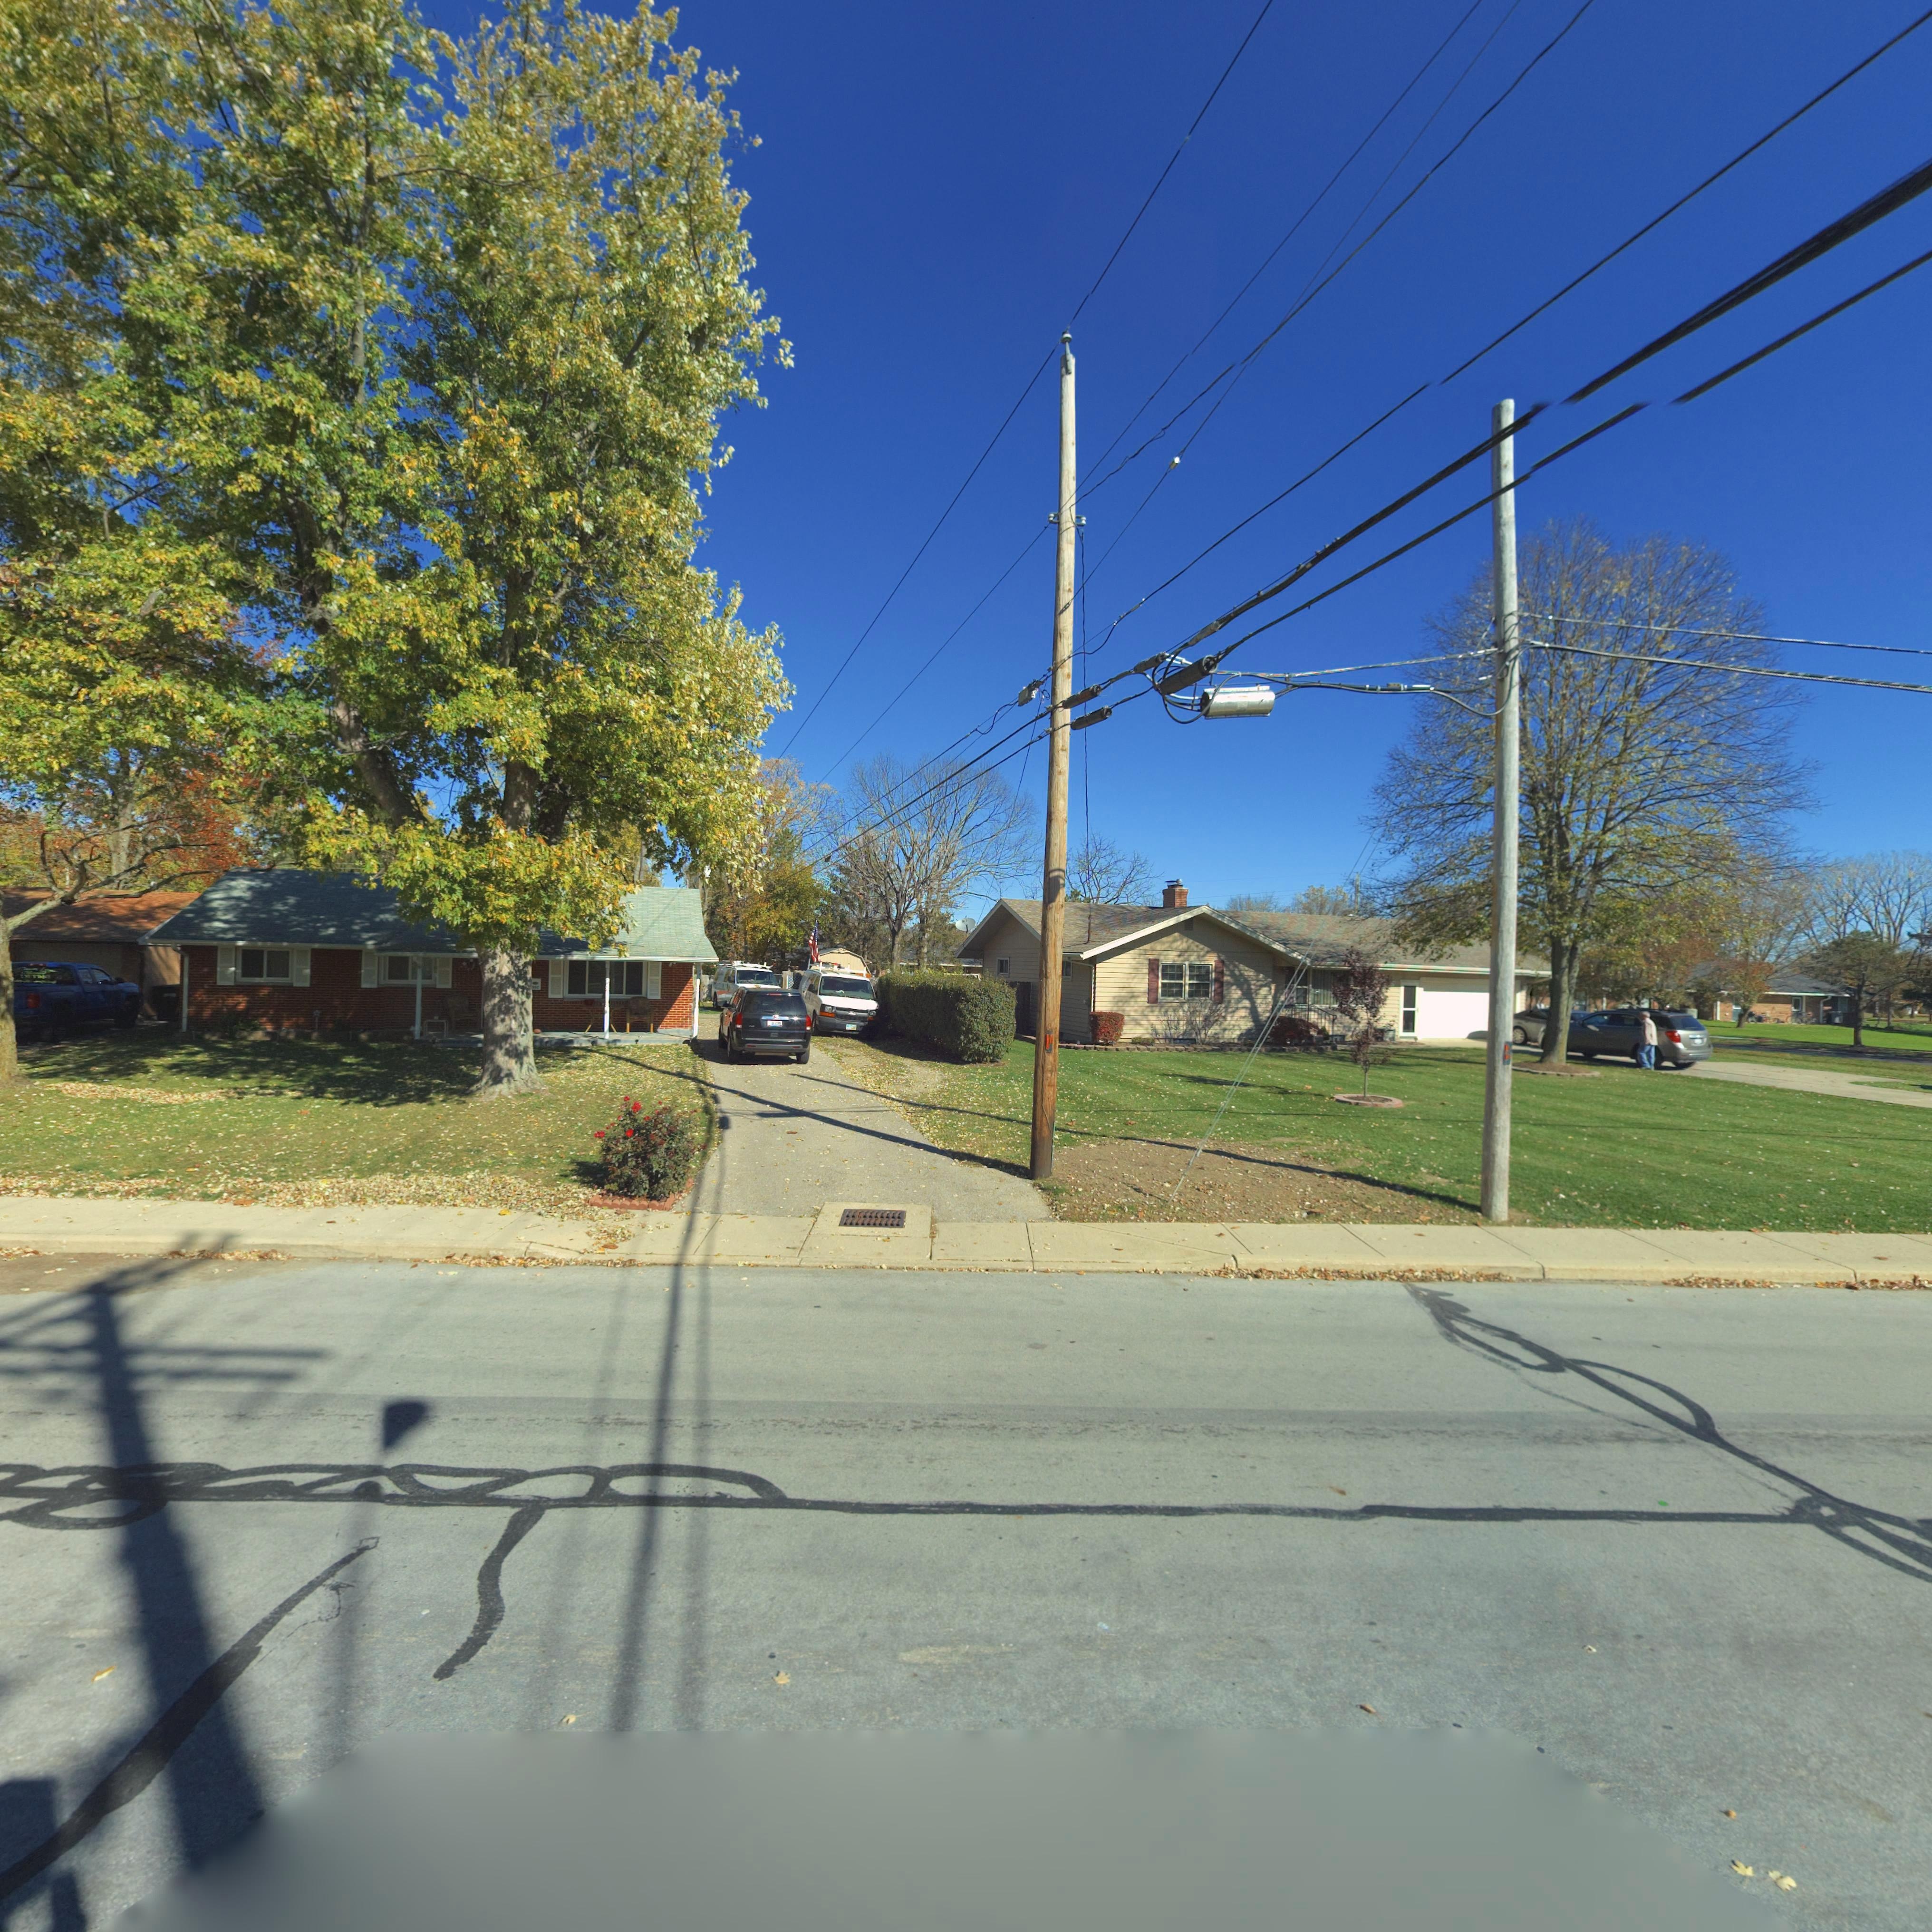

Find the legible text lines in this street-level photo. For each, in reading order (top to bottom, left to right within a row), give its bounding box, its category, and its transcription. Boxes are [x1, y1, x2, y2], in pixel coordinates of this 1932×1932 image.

[534, 985, 539, 989] StreetNumber: 02